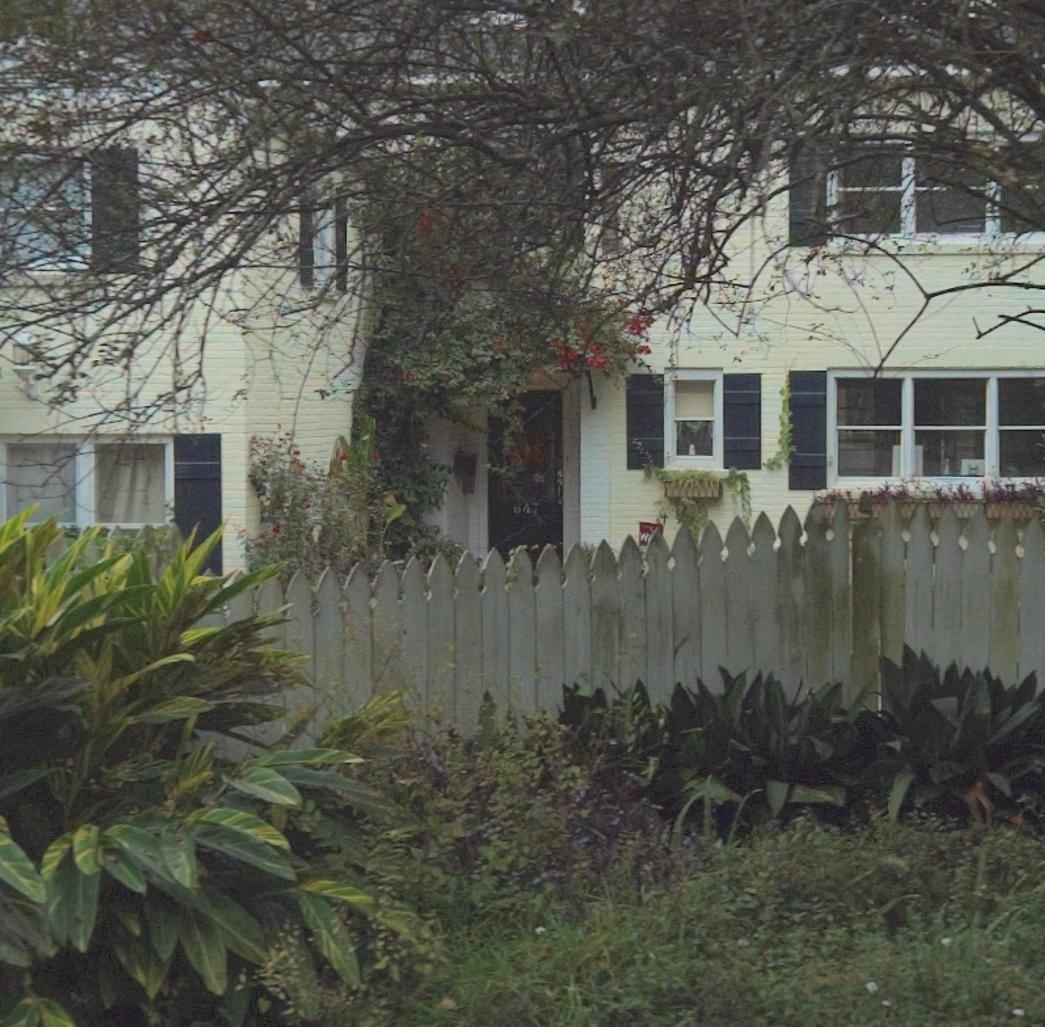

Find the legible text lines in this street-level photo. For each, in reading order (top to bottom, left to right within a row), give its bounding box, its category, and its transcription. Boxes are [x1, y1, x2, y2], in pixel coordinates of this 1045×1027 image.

[512, 500, 540, 516] StreetNumber: 647